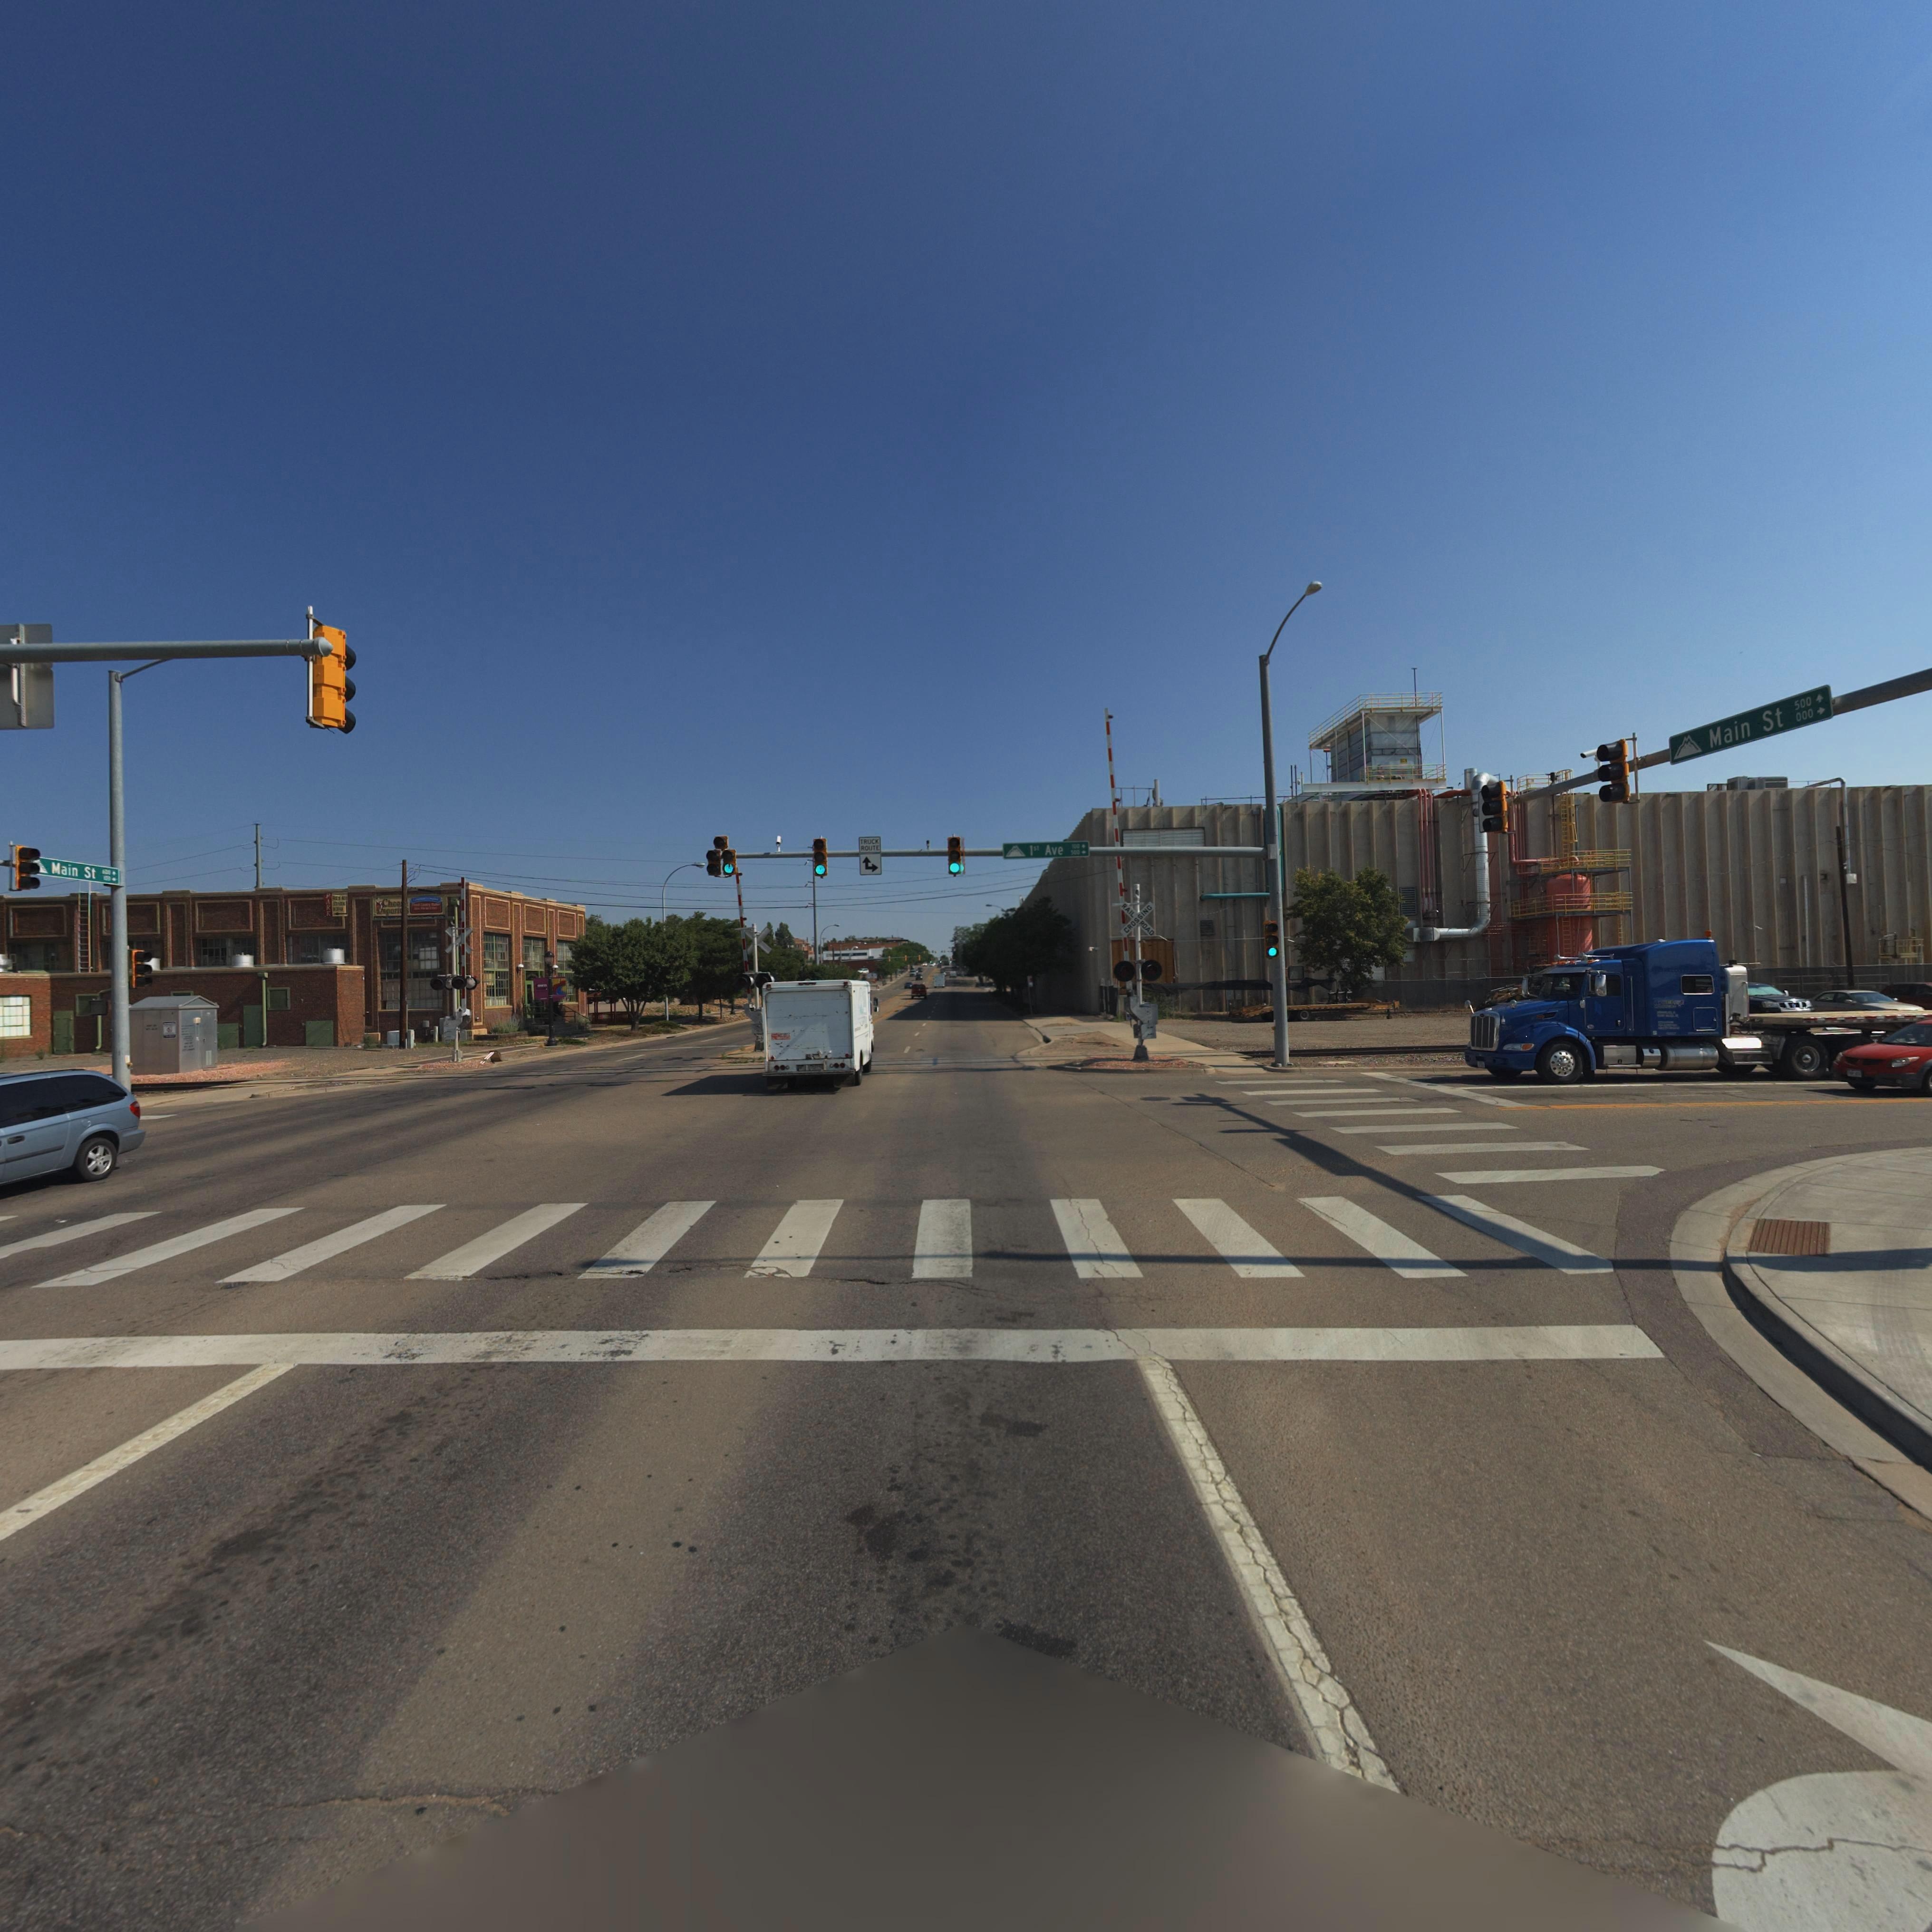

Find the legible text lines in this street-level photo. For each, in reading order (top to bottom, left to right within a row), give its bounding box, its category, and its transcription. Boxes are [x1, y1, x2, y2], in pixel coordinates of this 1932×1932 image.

[1071, 843, 1080, 849] StreetNumberRange: 100
[1029, 844, 1063, 855] StreetName: 1st Ave
[1070, 850, 1086, 854] StreetNumberRange: 500 ->